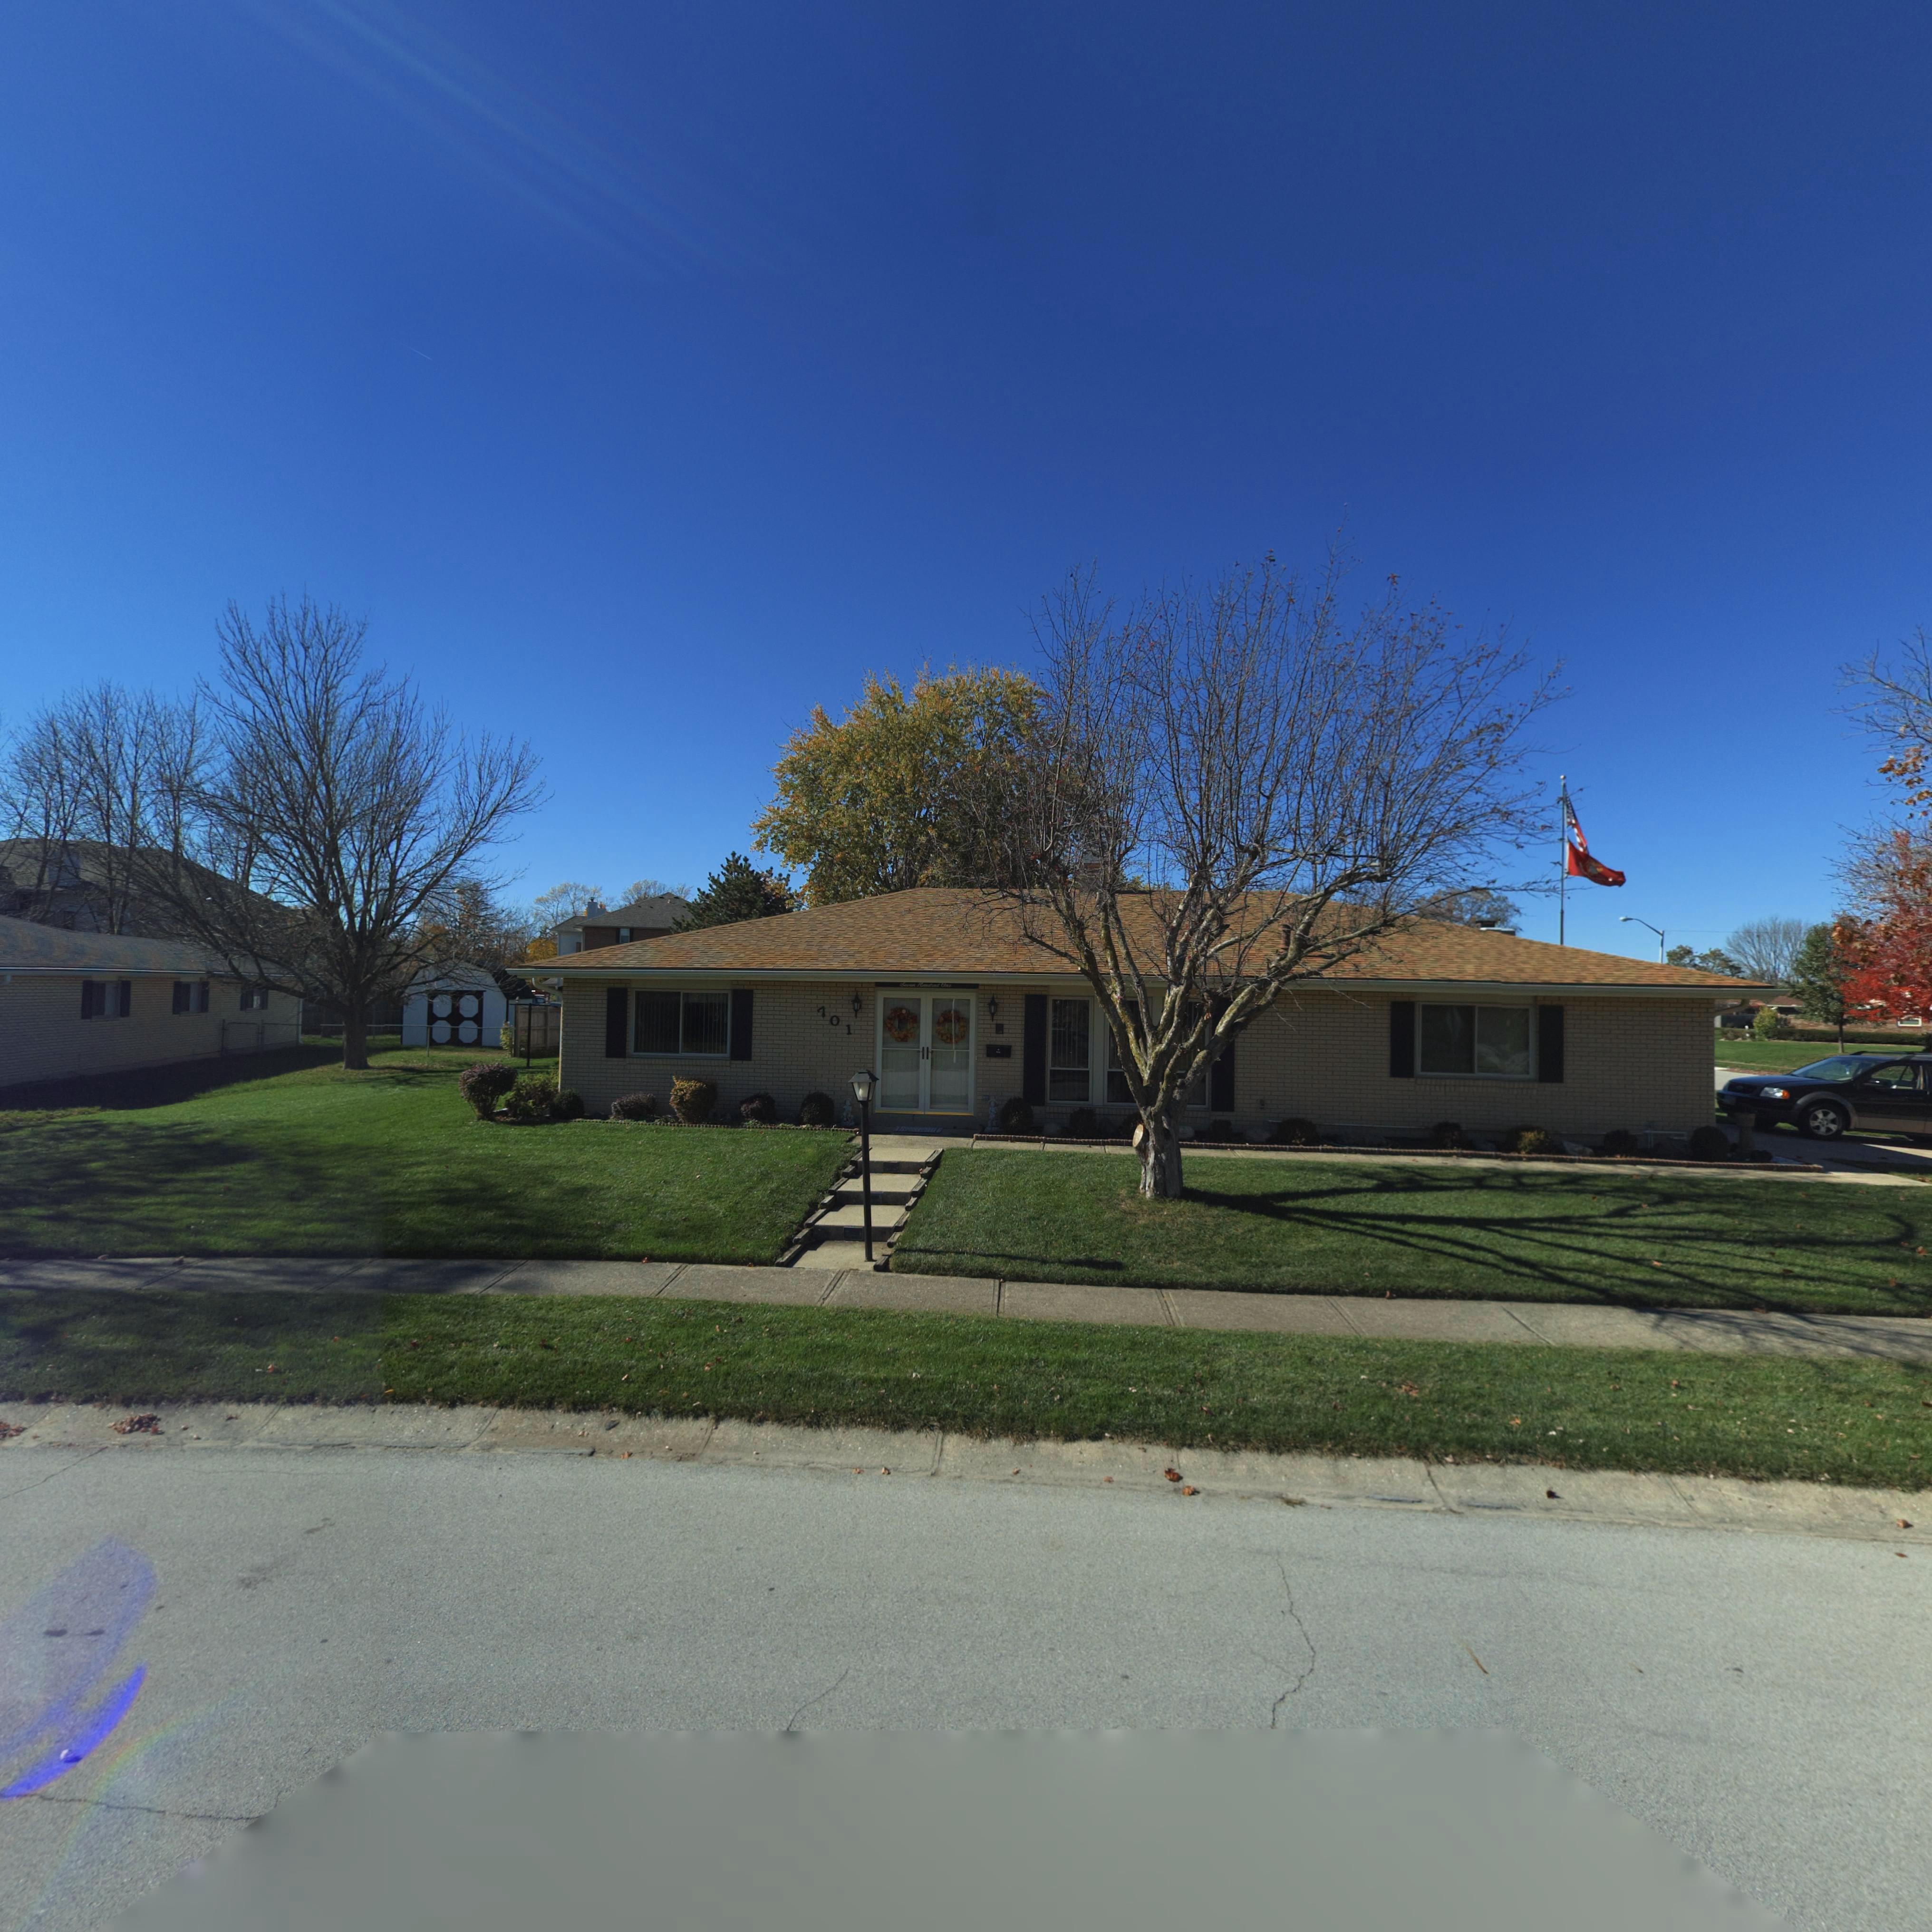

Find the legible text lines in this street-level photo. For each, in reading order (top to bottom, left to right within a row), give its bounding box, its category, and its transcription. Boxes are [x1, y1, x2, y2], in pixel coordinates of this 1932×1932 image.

[899, 982, 952, 987] StreetNumber: Seven Hundred One
[815, 1005, 852, 1035] StreetNumber: 701